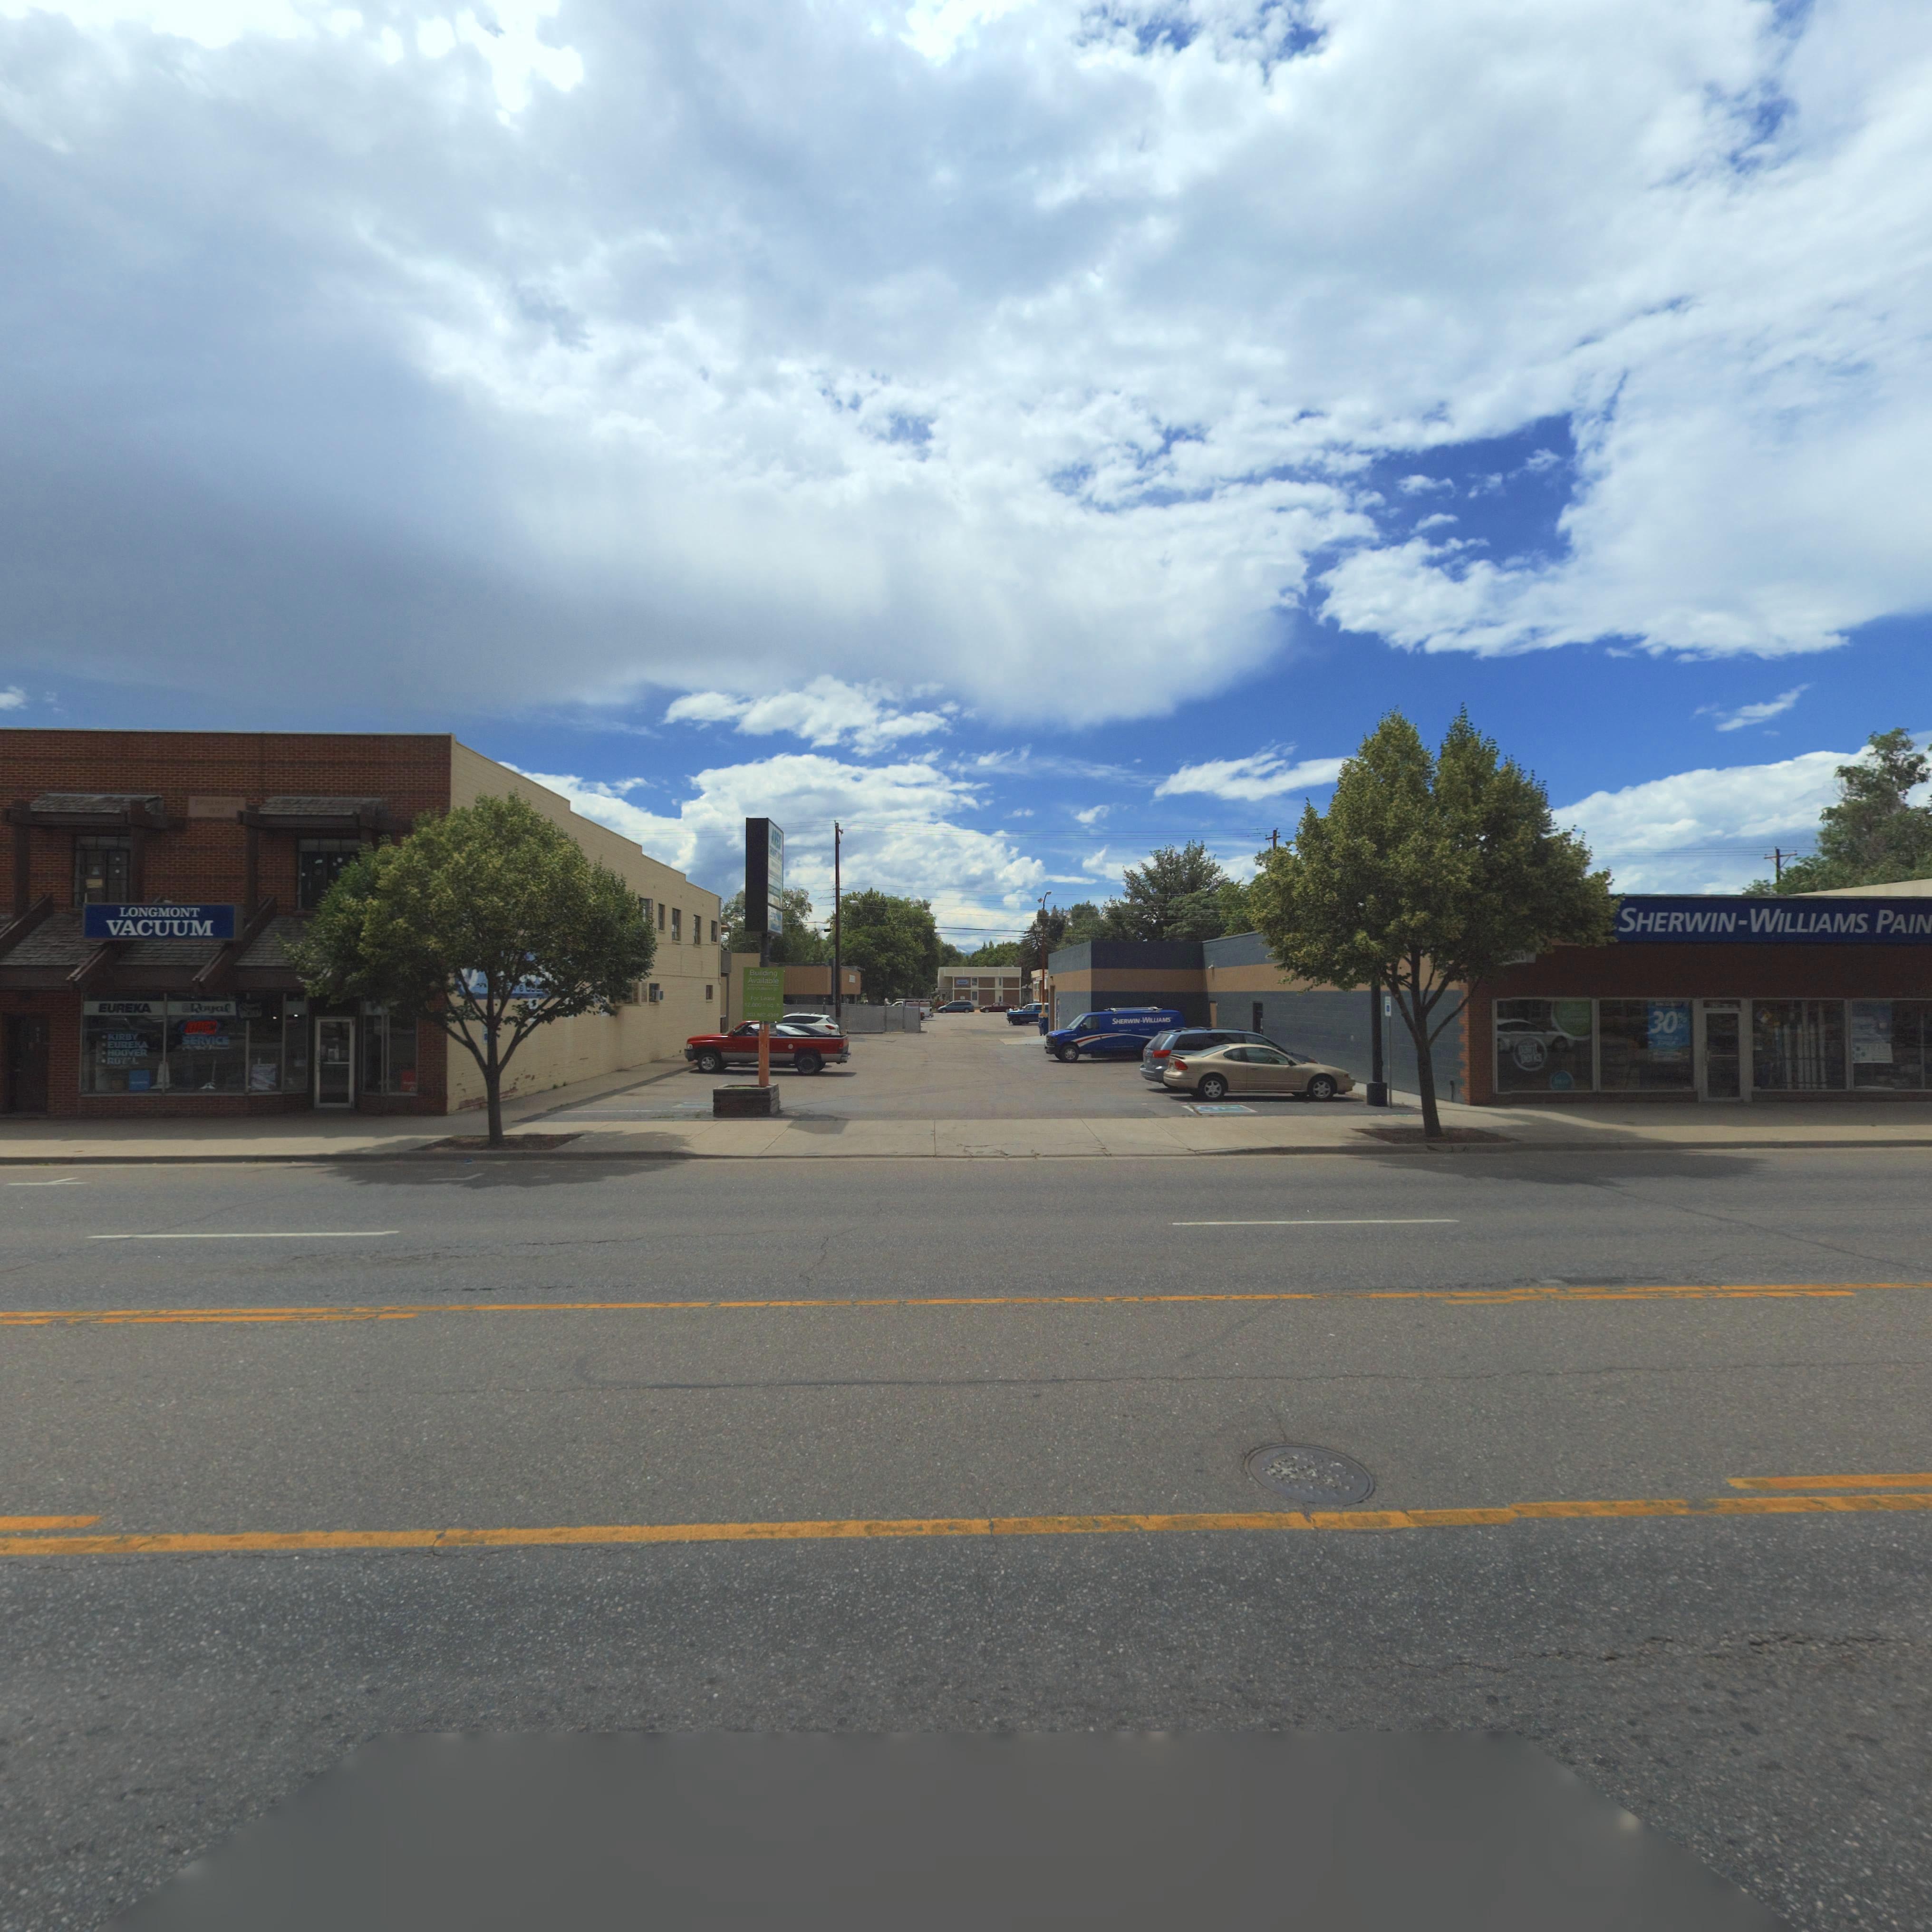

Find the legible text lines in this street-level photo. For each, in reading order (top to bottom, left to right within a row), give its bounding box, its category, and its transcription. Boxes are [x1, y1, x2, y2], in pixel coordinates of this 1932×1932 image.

[771, 828, 781, 850] BusinessName: ARES
[119, 908, 200, 917] BusinessName: LONGMONT
[105, 920, 213, 936] BusinessName: VACUUM
[1618, 907, 1931, 934] BusinessName: SHERWIN-WILLIAMS PAINT
[238, 1008, 262, 1018] BusinessName: VACUUM